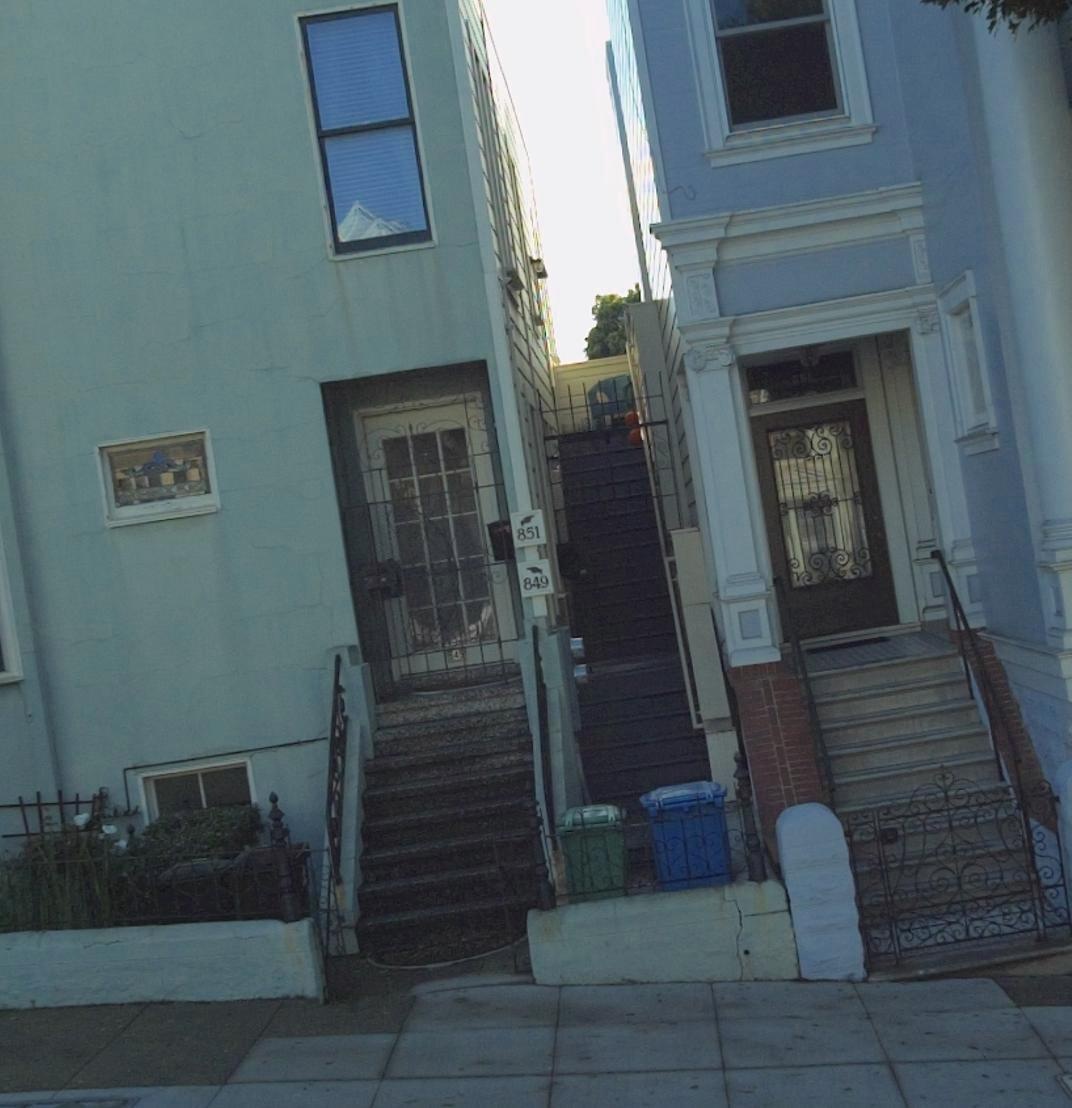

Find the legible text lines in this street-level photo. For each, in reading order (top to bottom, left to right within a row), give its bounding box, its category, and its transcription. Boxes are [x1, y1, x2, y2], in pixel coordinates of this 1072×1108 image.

[515, 526, 541, 543] StreetNumber: 851
[522, 574, 550, 591] StreetNumber: 849